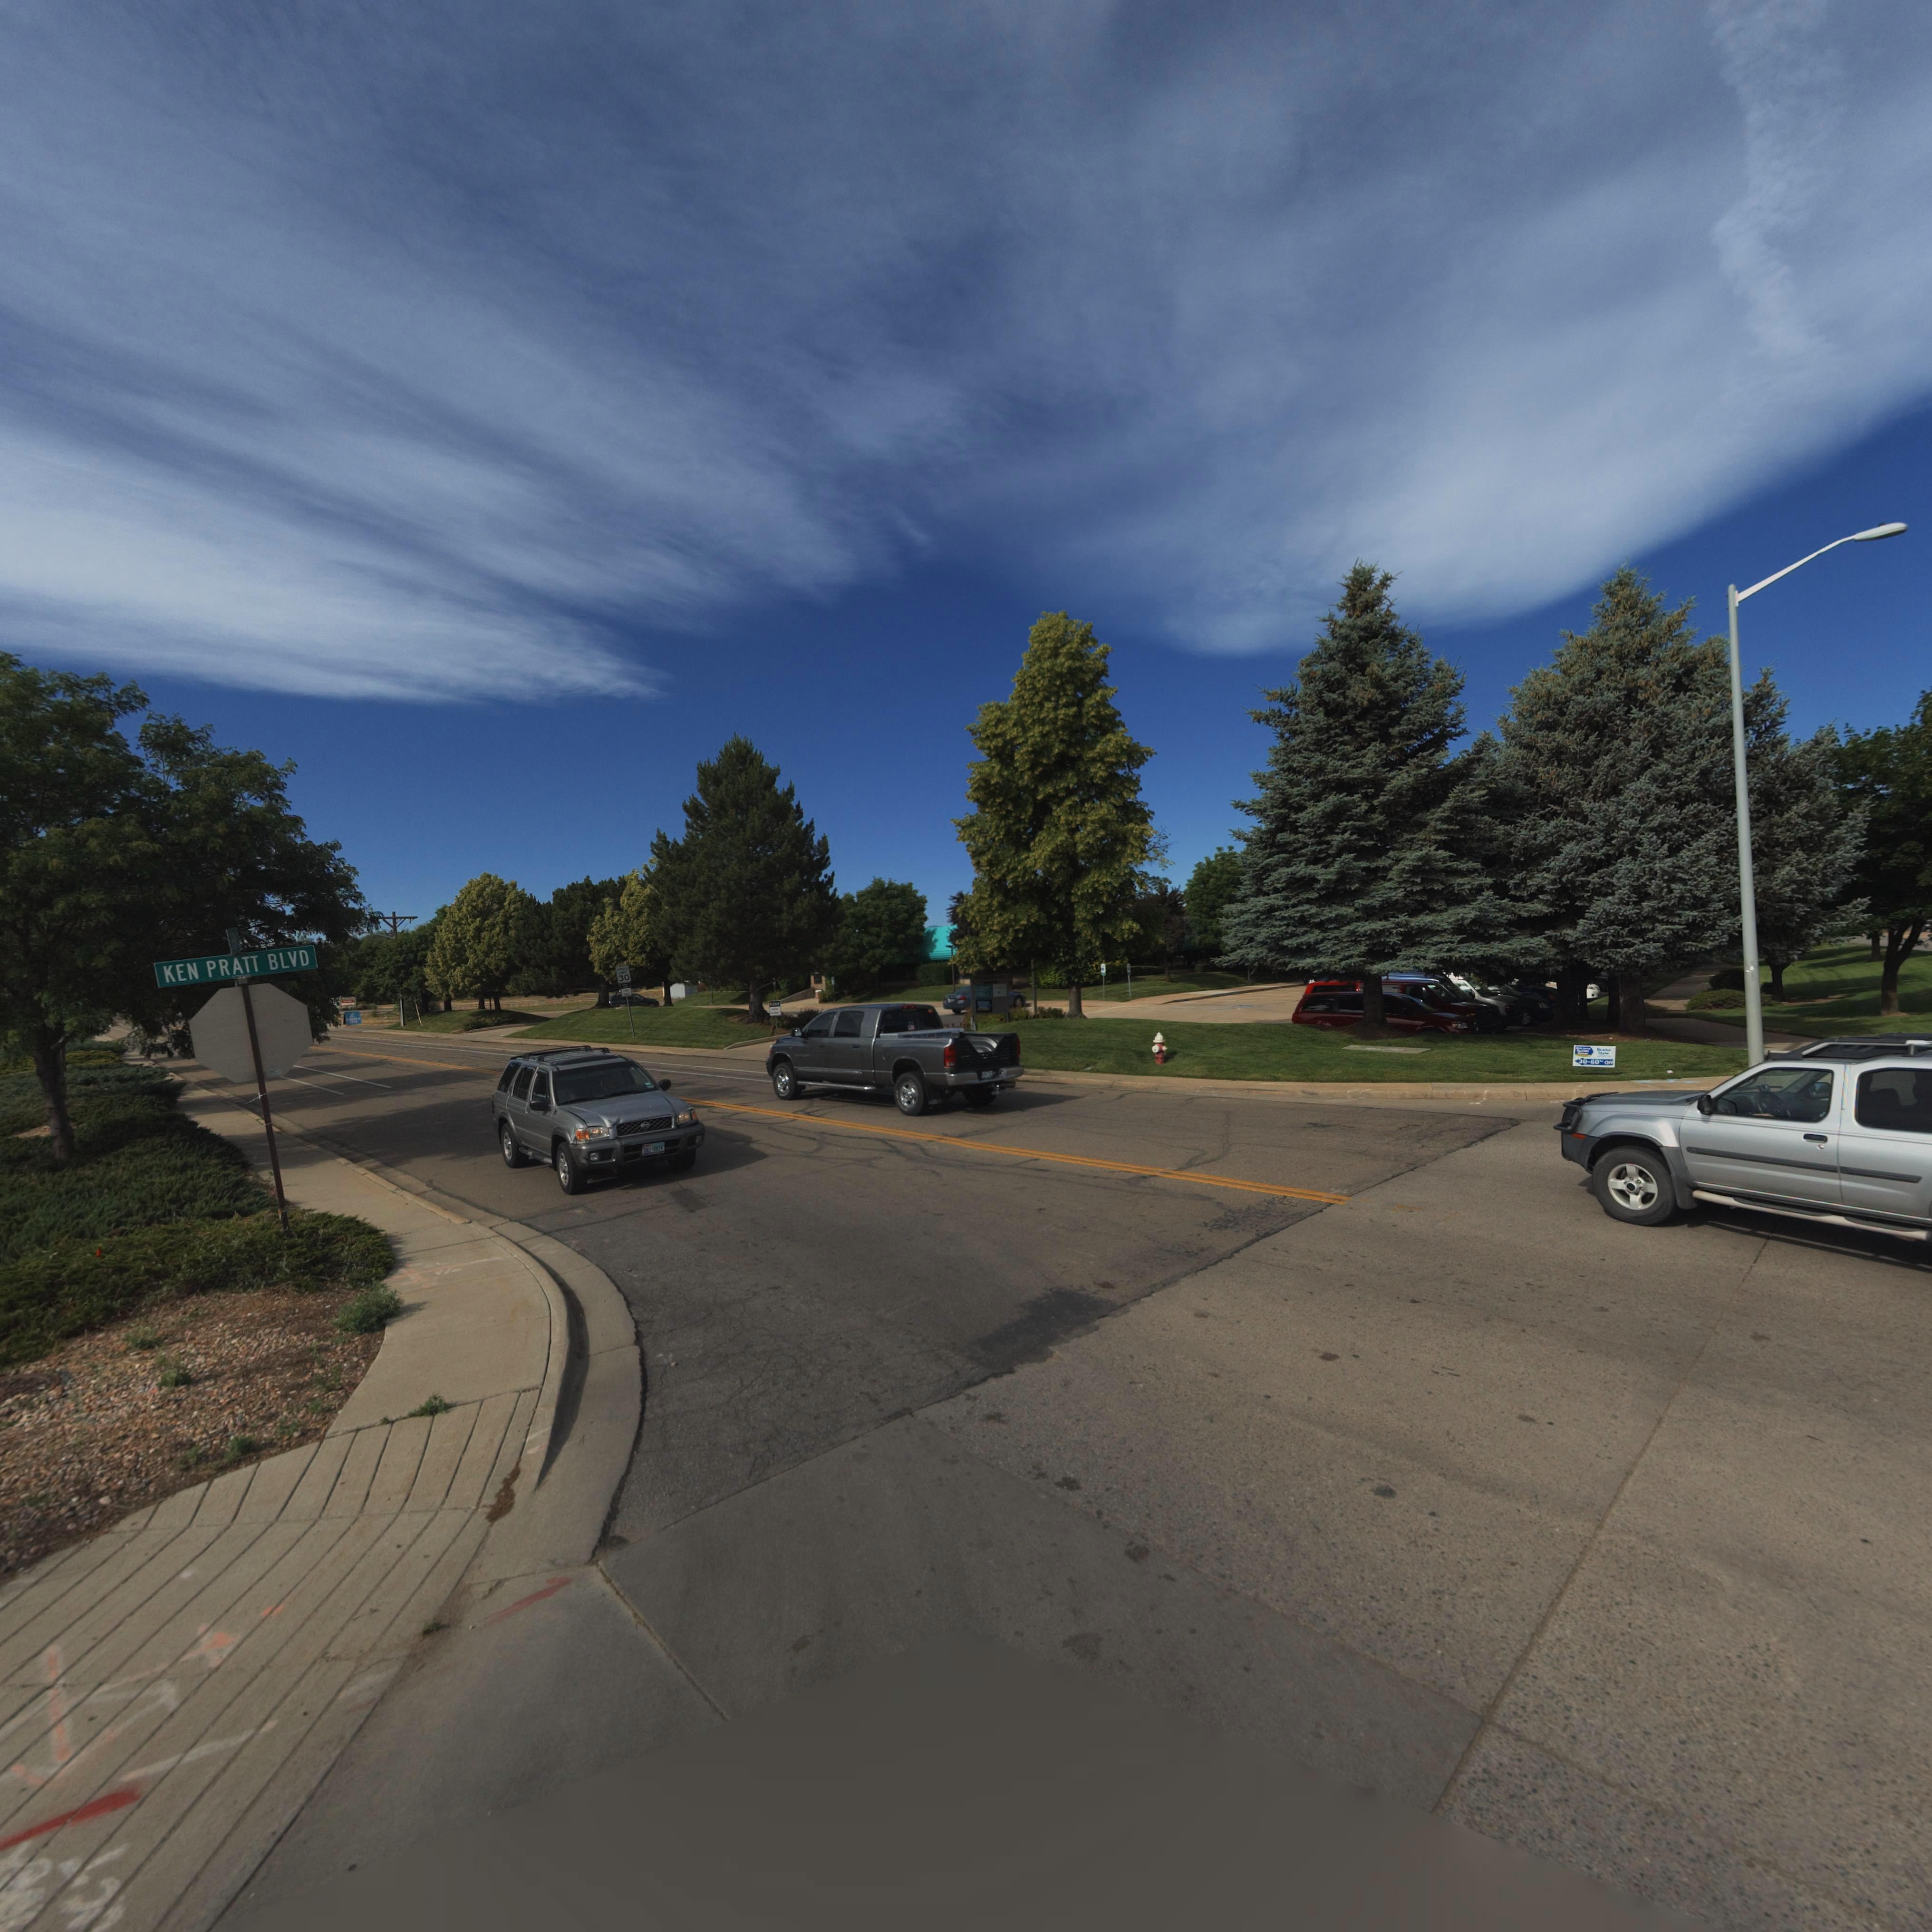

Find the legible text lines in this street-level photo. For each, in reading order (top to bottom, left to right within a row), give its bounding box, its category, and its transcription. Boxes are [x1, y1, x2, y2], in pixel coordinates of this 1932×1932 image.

[163, 949, 309, 983] BusinessName: KEN PRATT BLVD
[975, 992, 986, 997] BusinessName: CARE
[349, 1020, 357, 1023] BusinessName: CARE
[346, 1017, 360, 1021] BusinessName: COMFORT